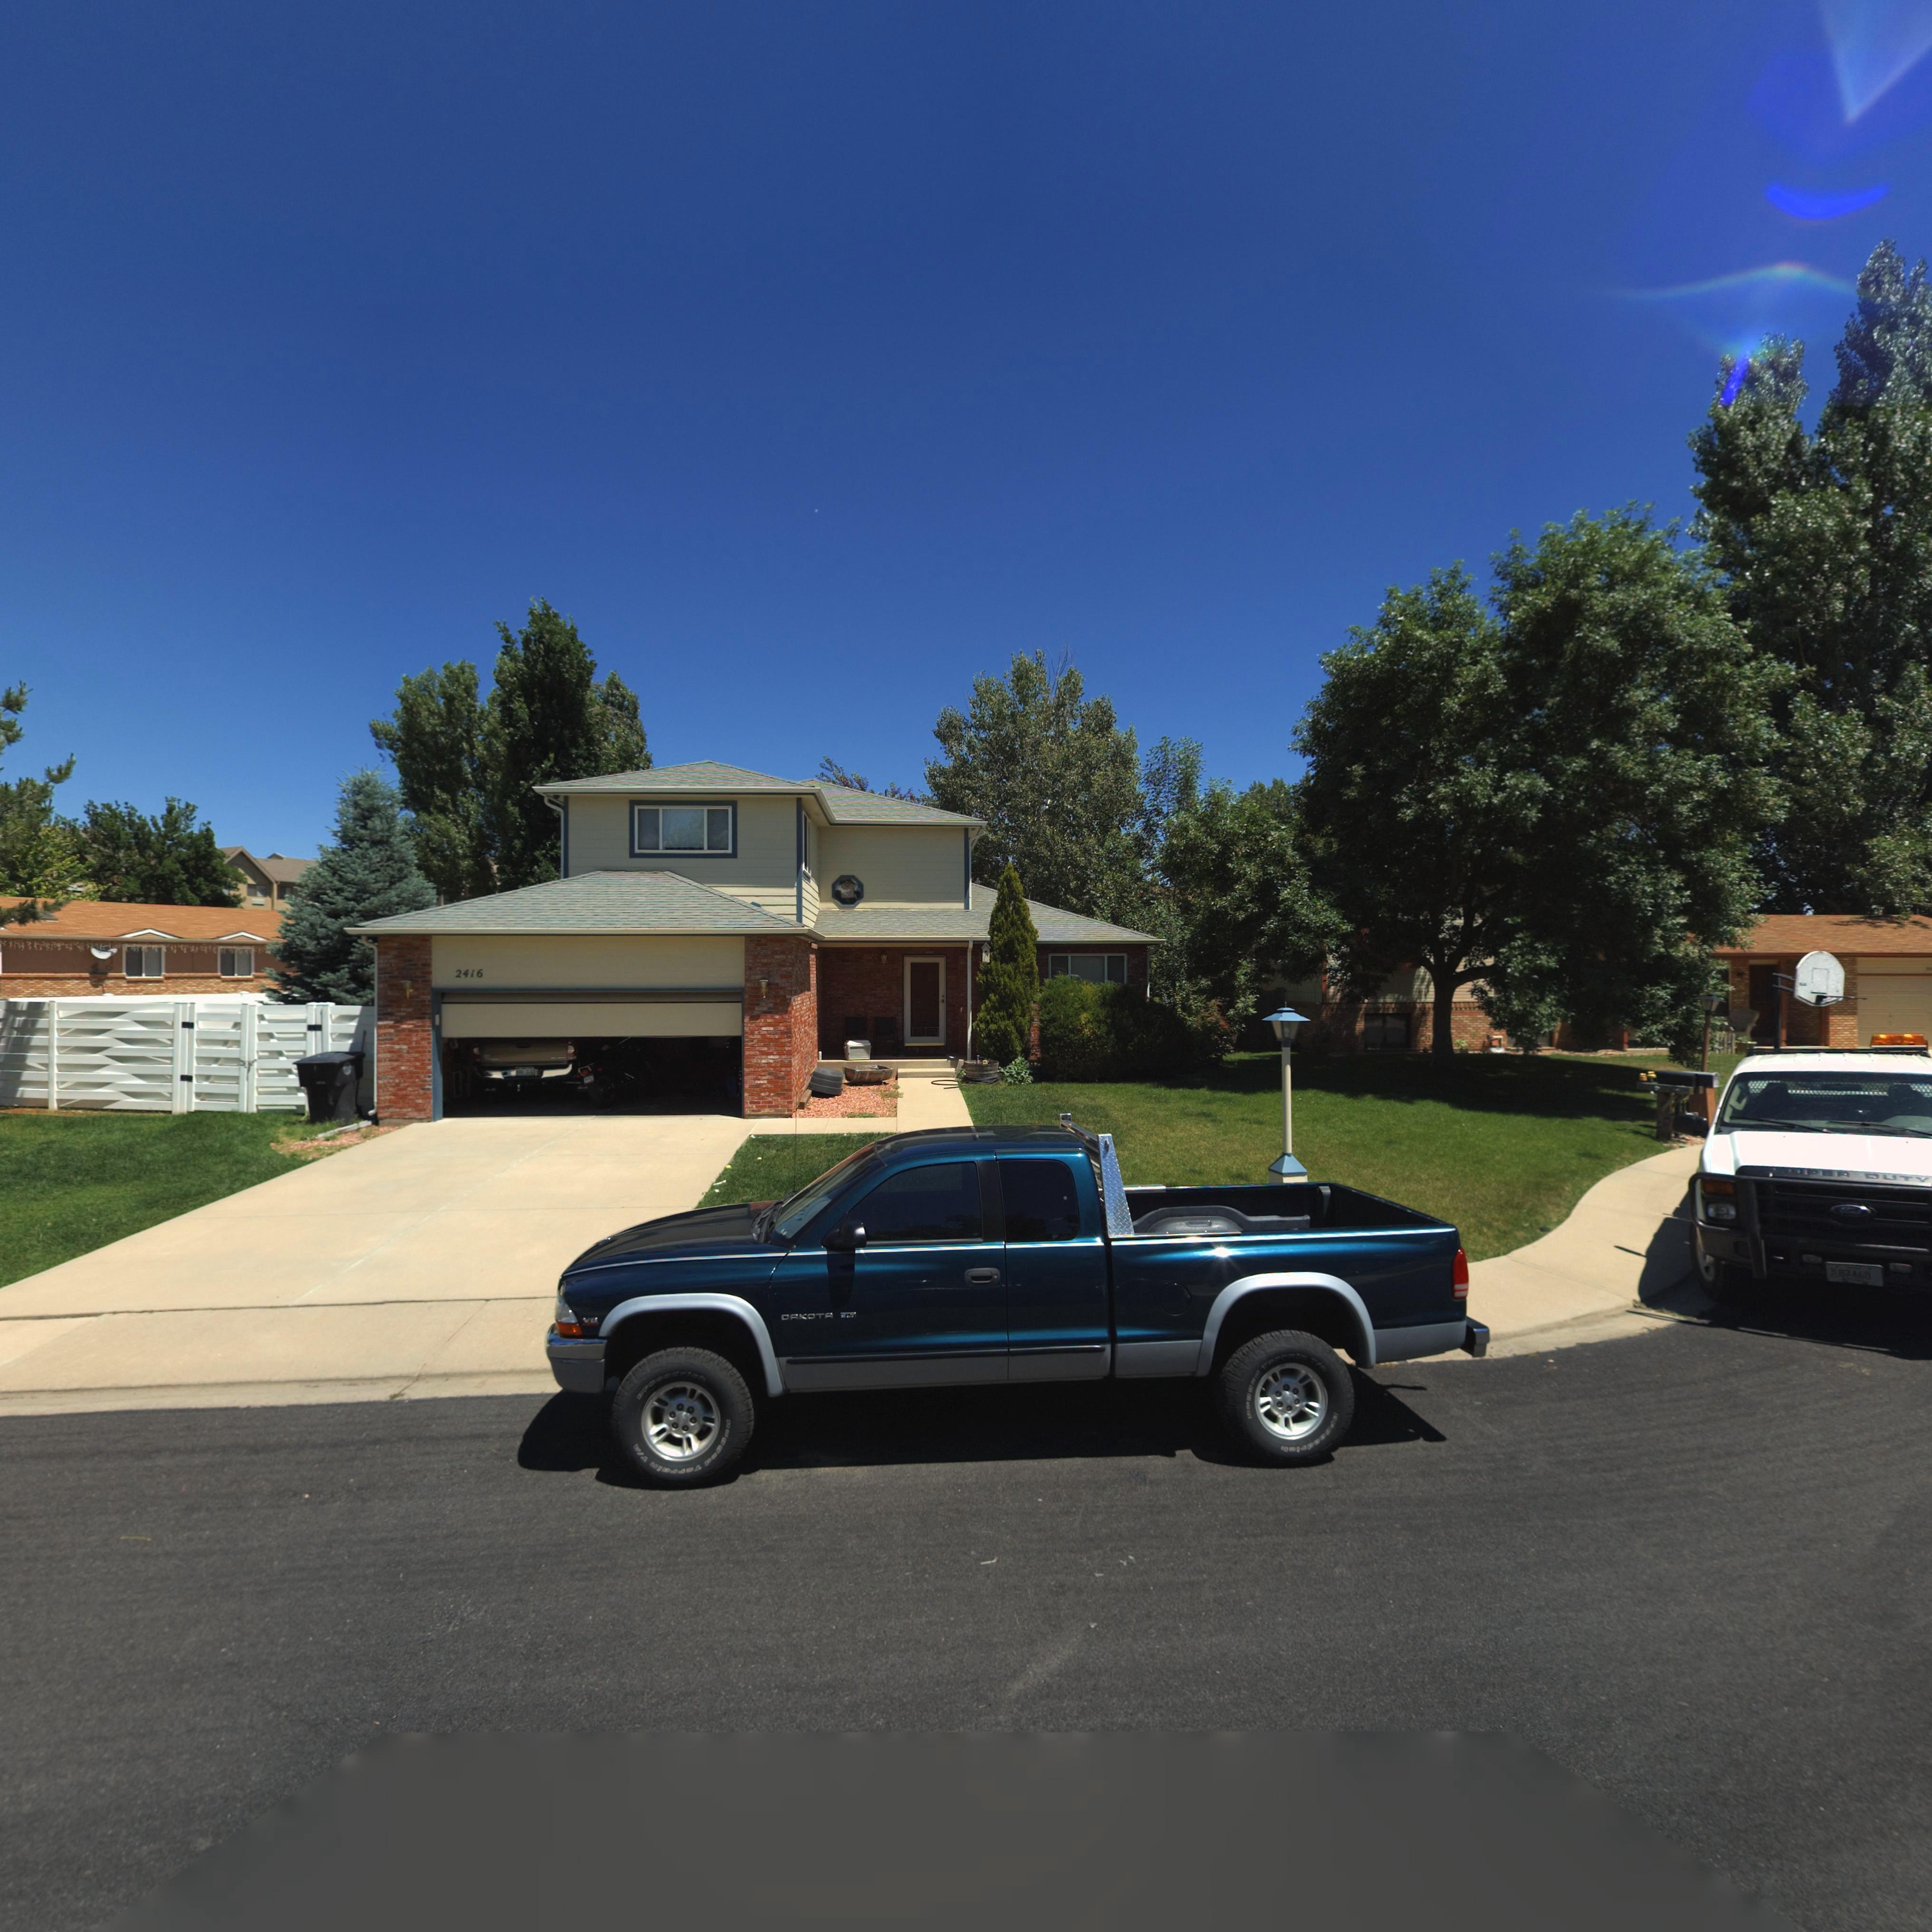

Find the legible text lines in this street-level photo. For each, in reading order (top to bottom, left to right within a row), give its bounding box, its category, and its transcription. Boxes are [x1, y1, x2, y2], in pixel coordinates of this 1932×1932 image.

[455, 968, 483, 978] StreetNumber: 2416